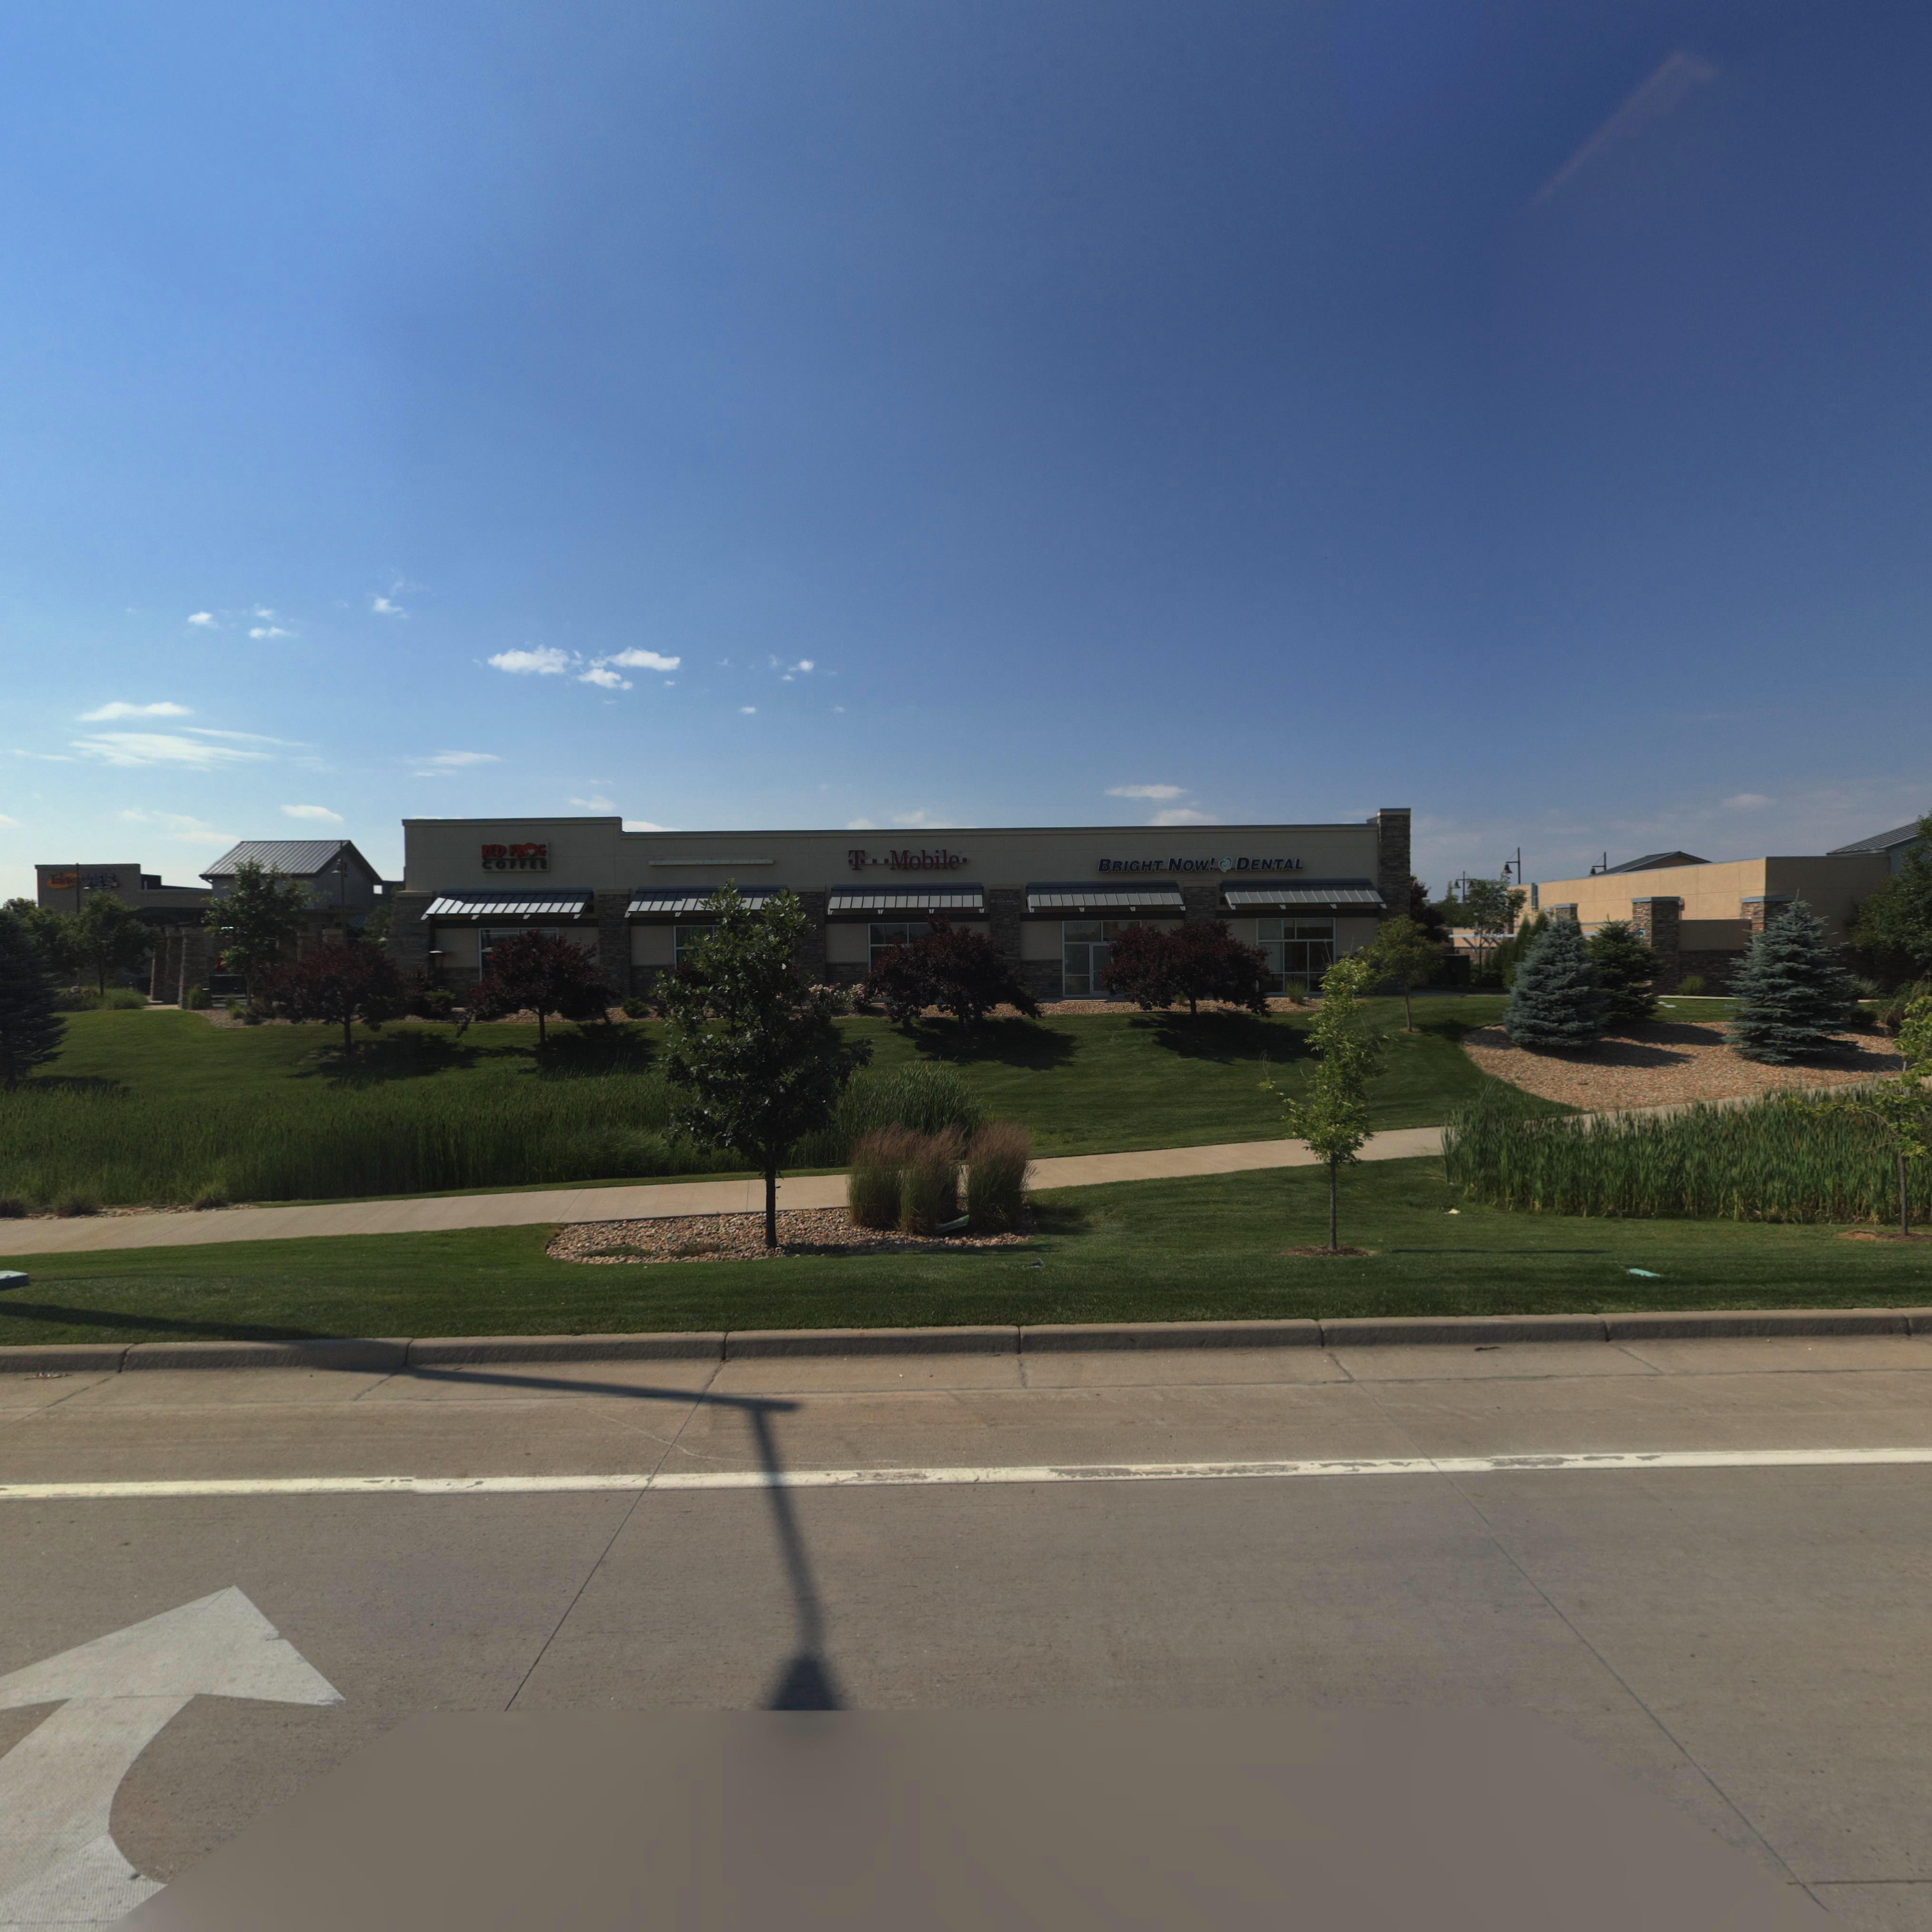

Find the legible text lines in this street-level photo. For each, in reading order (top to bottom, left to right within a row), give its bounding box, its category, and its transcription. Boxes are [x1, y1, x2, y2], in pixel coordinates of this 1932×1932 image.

[481, 842, 547, 858] BusinessName: RED FROG
[482, 860, 547, 869] BusinessName: COFFEE
[848, 849, 960, 870] BusinessName: T Mobile
[1098, 855, 1304, 873] BusinessName: BRIGHT NOW* * DENTAL
[48, 872, 78, 885] BusinessName: Tok*o
[80, 872, 115, 886] BusinessName: J*E'S